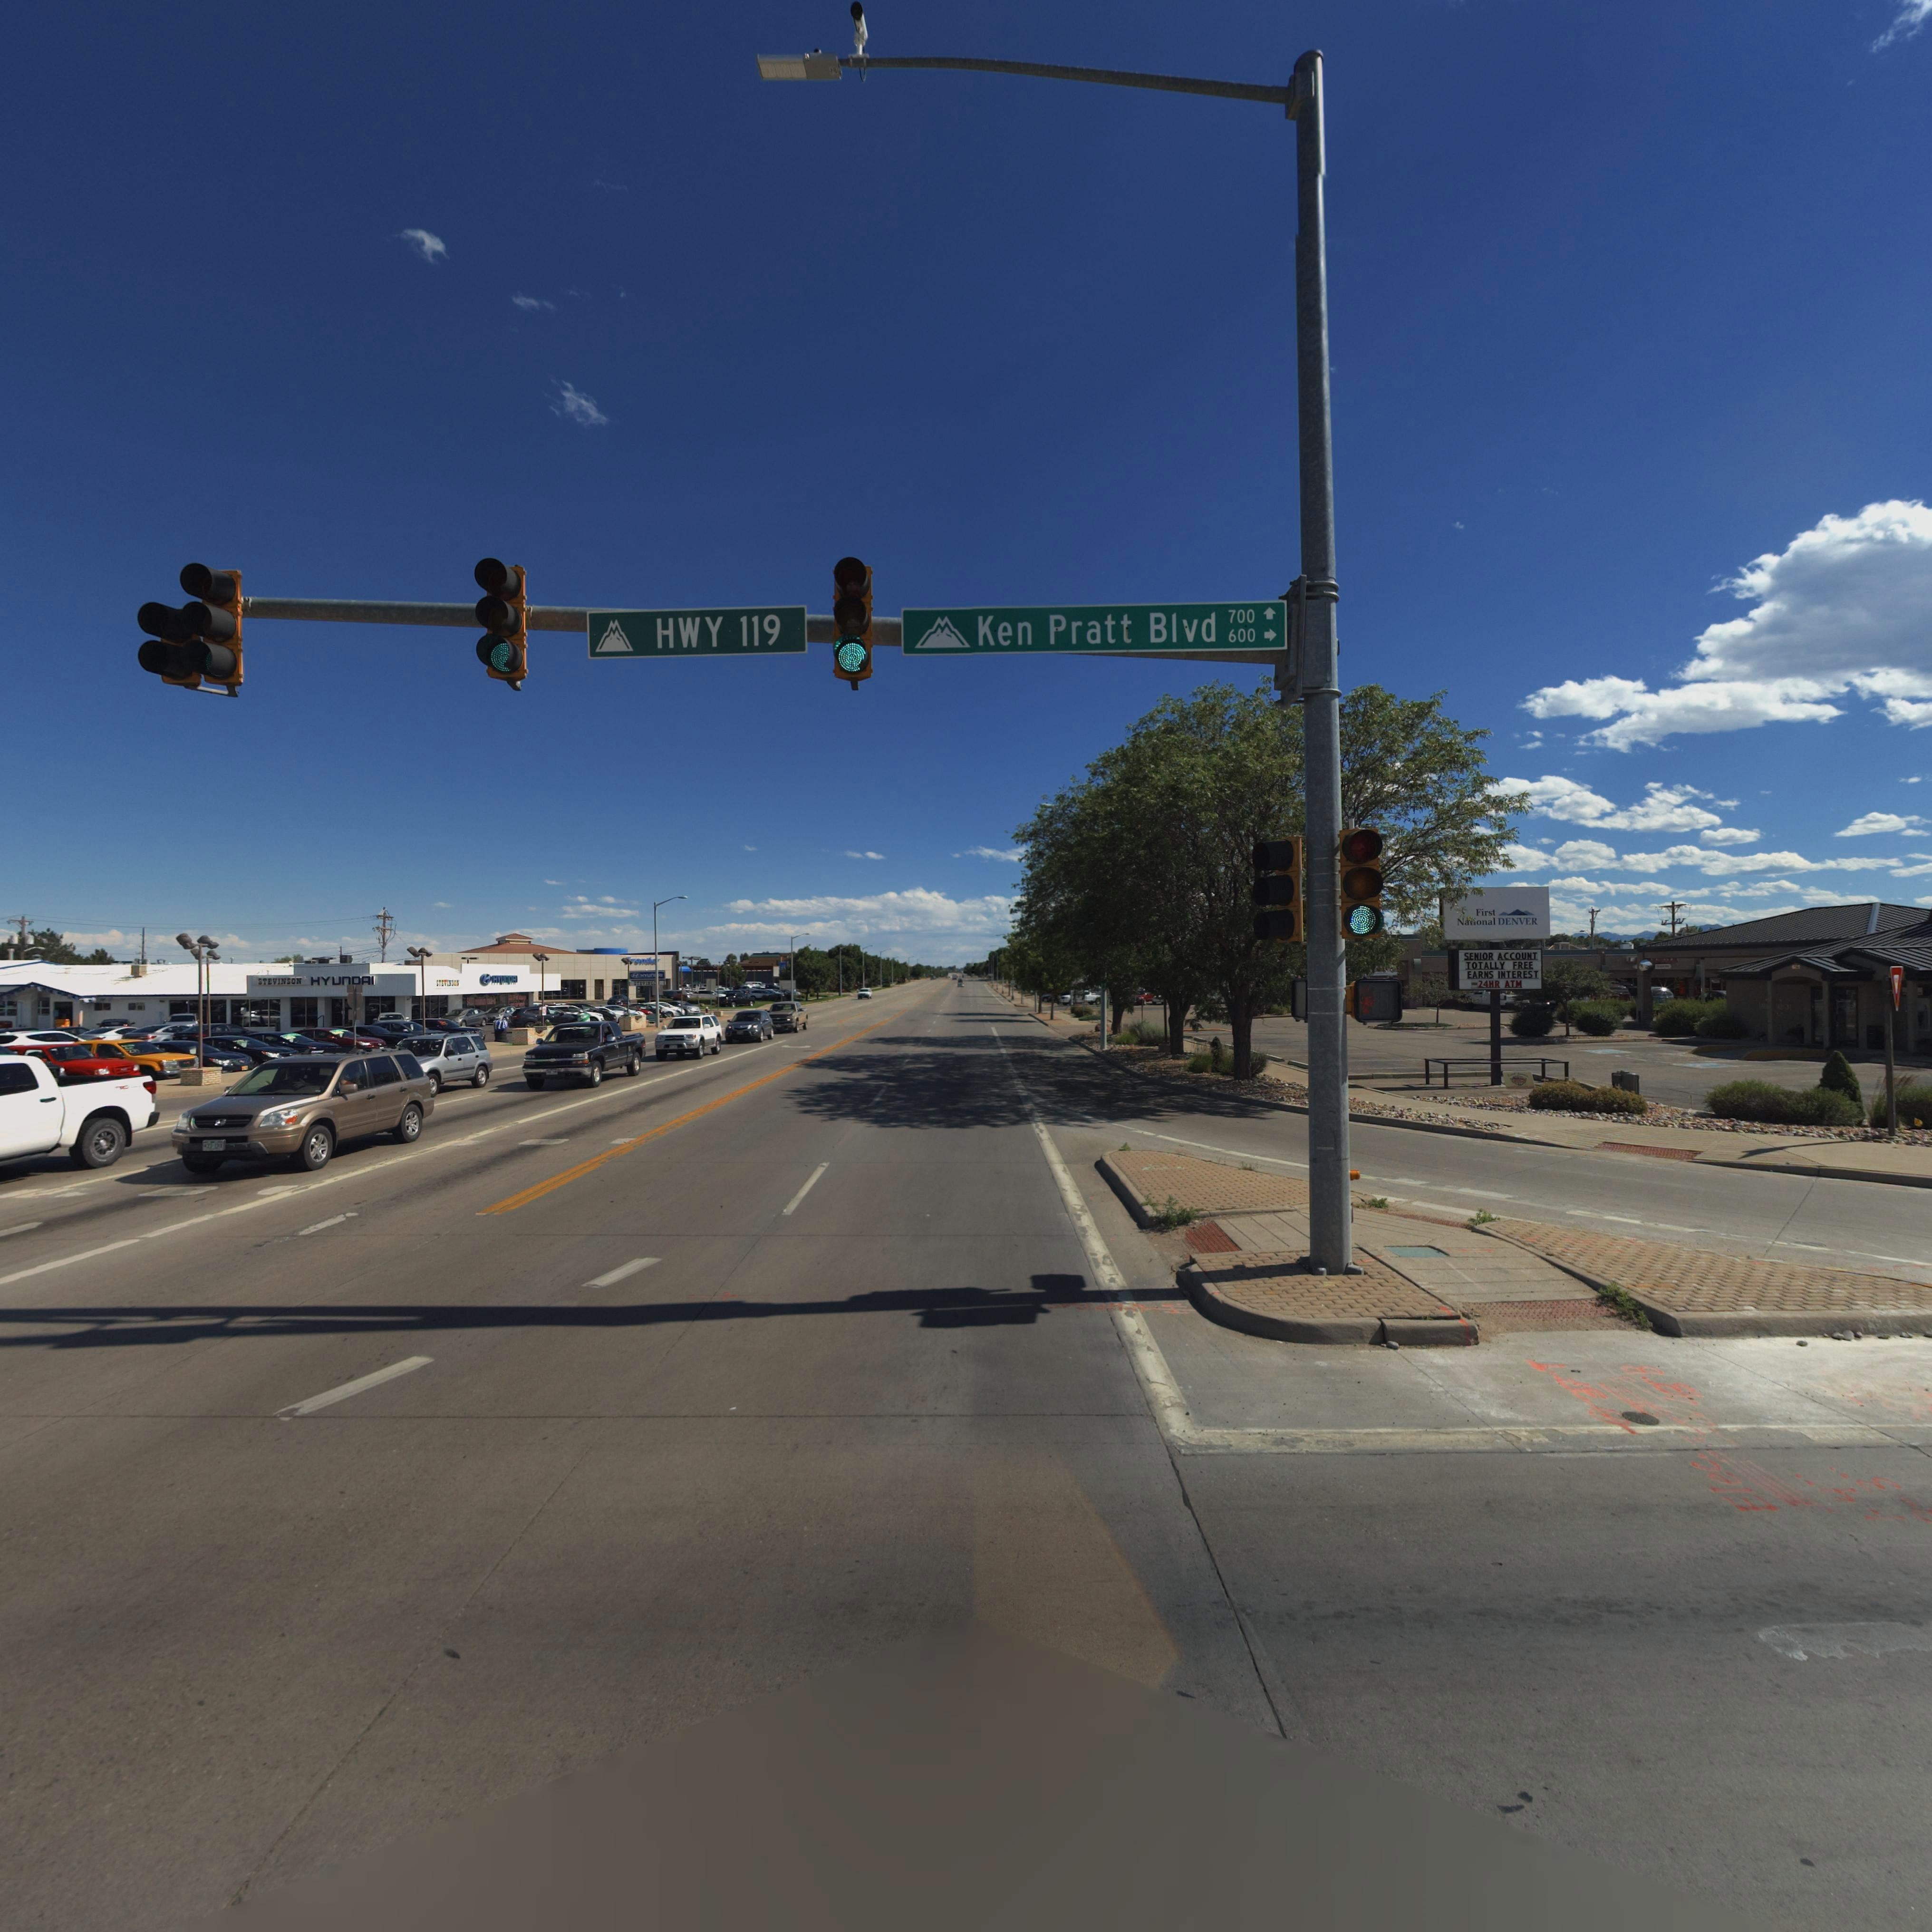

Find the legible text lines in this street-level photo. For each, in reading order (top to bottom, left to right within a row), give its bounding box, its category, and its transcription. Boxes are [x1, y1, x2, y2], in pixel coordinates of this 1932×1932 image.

[1227, 608, 1257, 624] StreetNumberRange: 700
[654, 611, 782, 651] StreetName: HWY 119
[976, 608, 1218, 647] StreetName: Ken Pratt Blvd
[1227, 627, 1279, 644] StreetNumberRange: 600 ->
[1476, 908, 1496, 916] BusinessName: First
[1457, 916, 1538, 926] BusinessName: Na*ional DENVER
[257, 977, 302, 985] BusinessName: STEVINSON
[310, 975, 375, 985] BusinessName: HYUnDAI
[435, 979, 460, 986] BusinessName: STE*I****
[492, 975, 518, 983] BusinessName: HYUnDAI
[634, 981, 660, 985] BusinessName: ***VIN***
[640, 973, 663, 977] BusinessName: HYUn**I